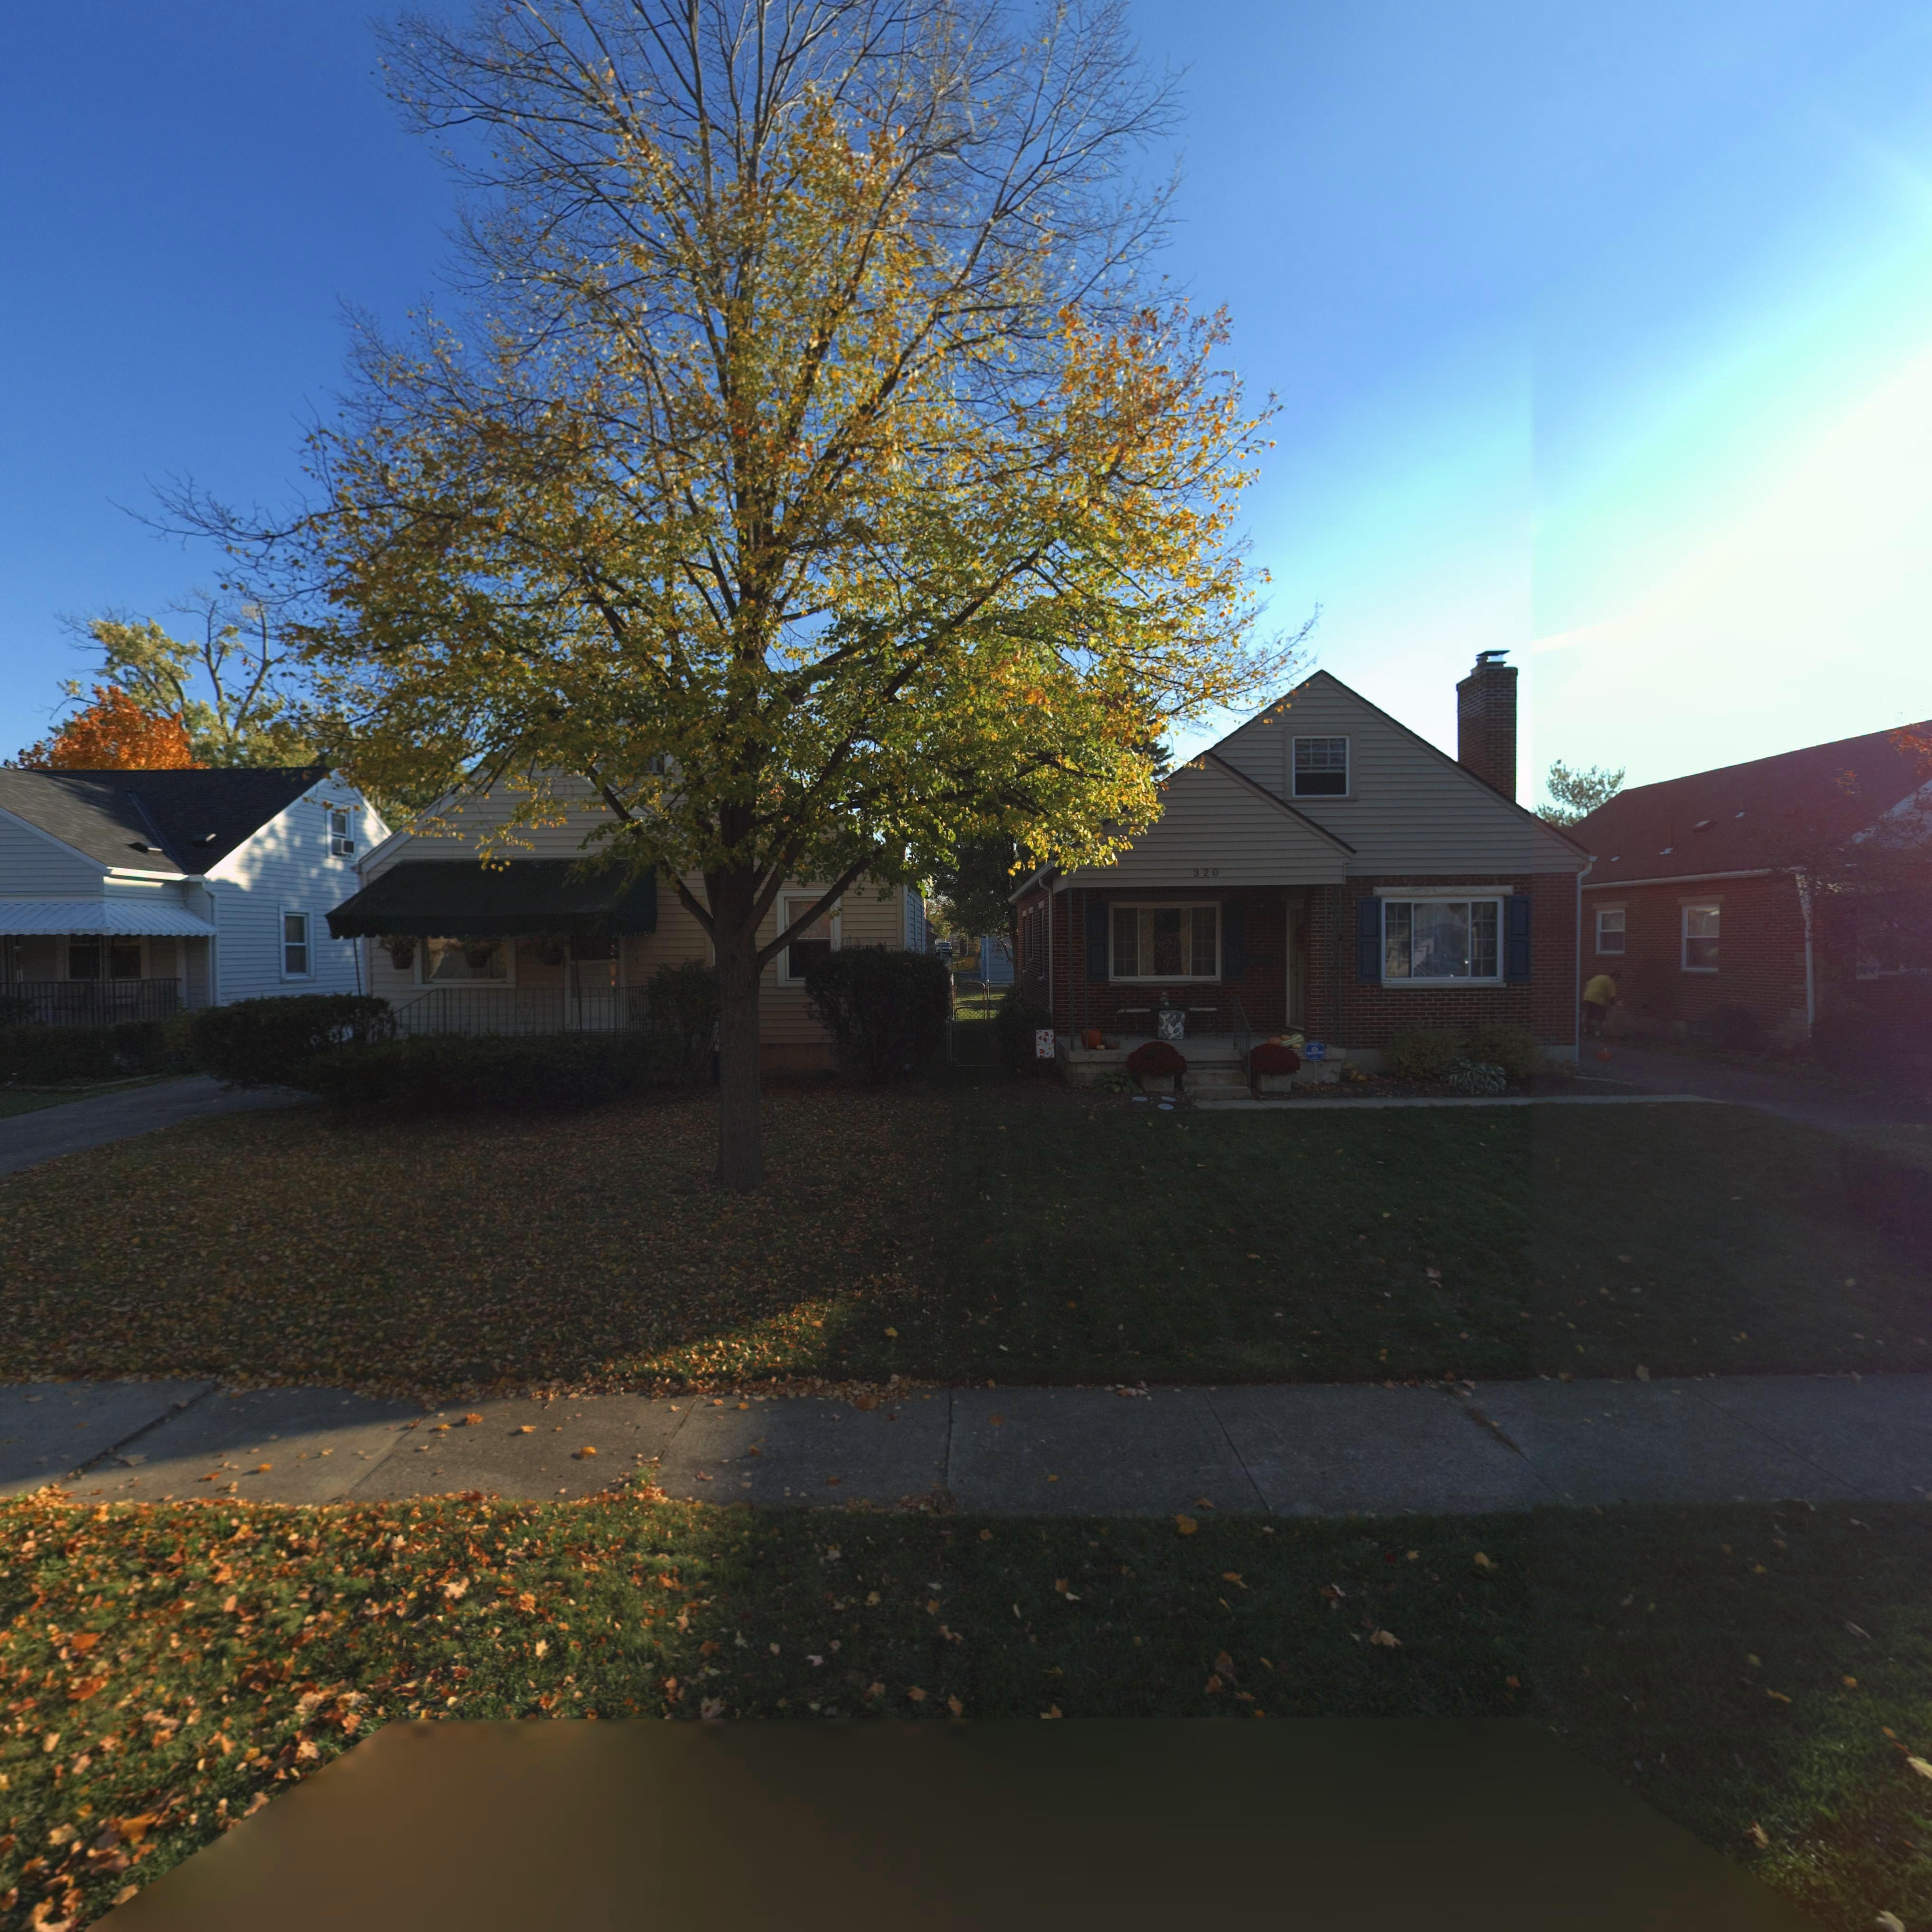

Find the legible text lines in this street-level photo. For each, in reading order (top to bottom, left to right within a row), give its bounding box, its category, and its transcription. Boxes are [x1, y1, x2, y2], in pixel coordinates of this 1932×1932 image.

[1192, 867, 1219, 878] StreetNumber: 320